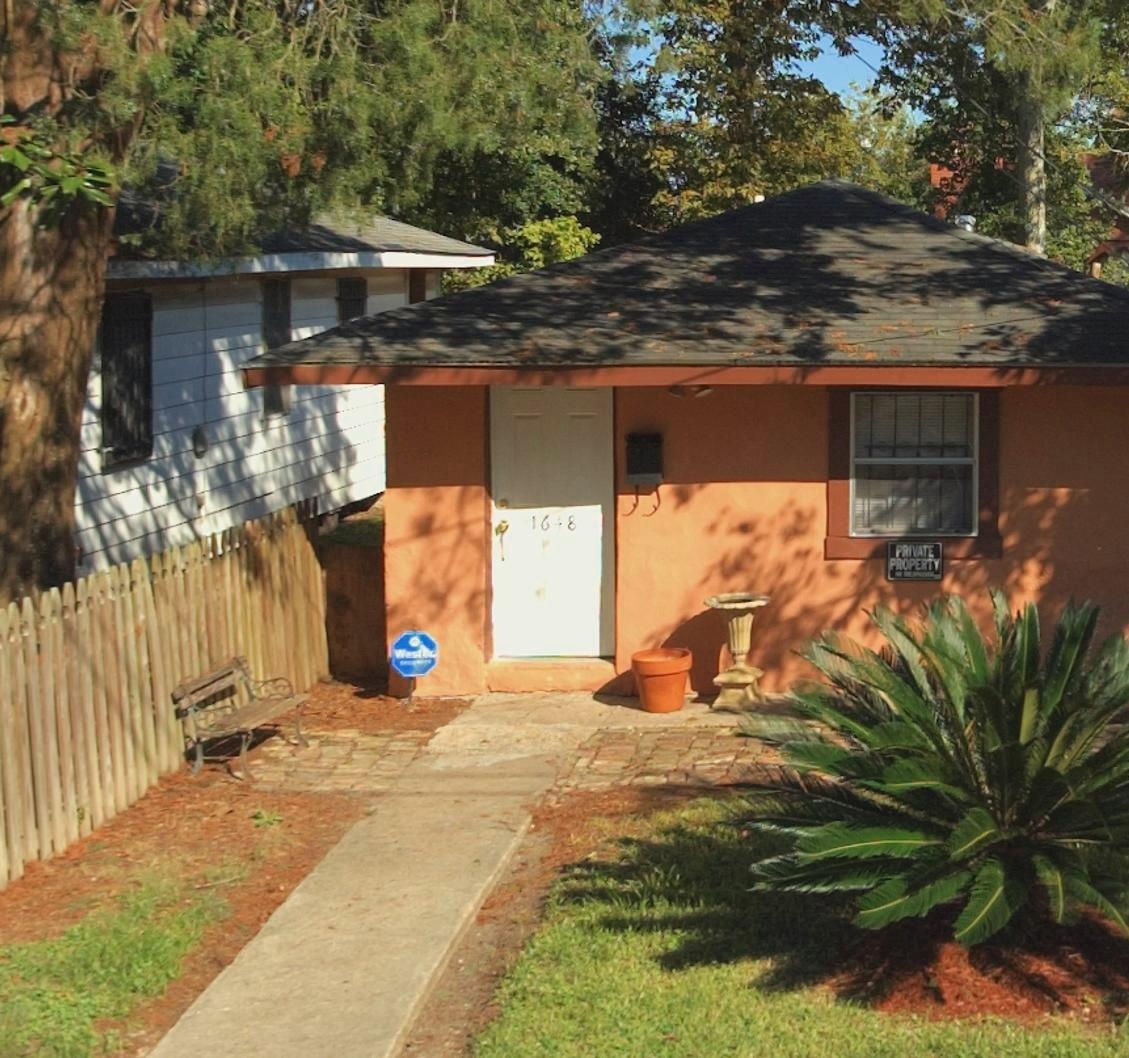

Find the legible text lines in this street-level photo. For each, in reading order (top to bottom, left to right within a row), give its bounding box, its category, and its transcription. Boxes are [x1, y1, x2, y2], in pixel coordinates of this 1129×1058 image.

[531, 513, 578, 533] StreetNumber: 1648
[894, 543, 934, 557] None: PRIVATE
[889, 557, 940, 571] None: PROPERTY
[393, 648, 418, 658] None: Wes